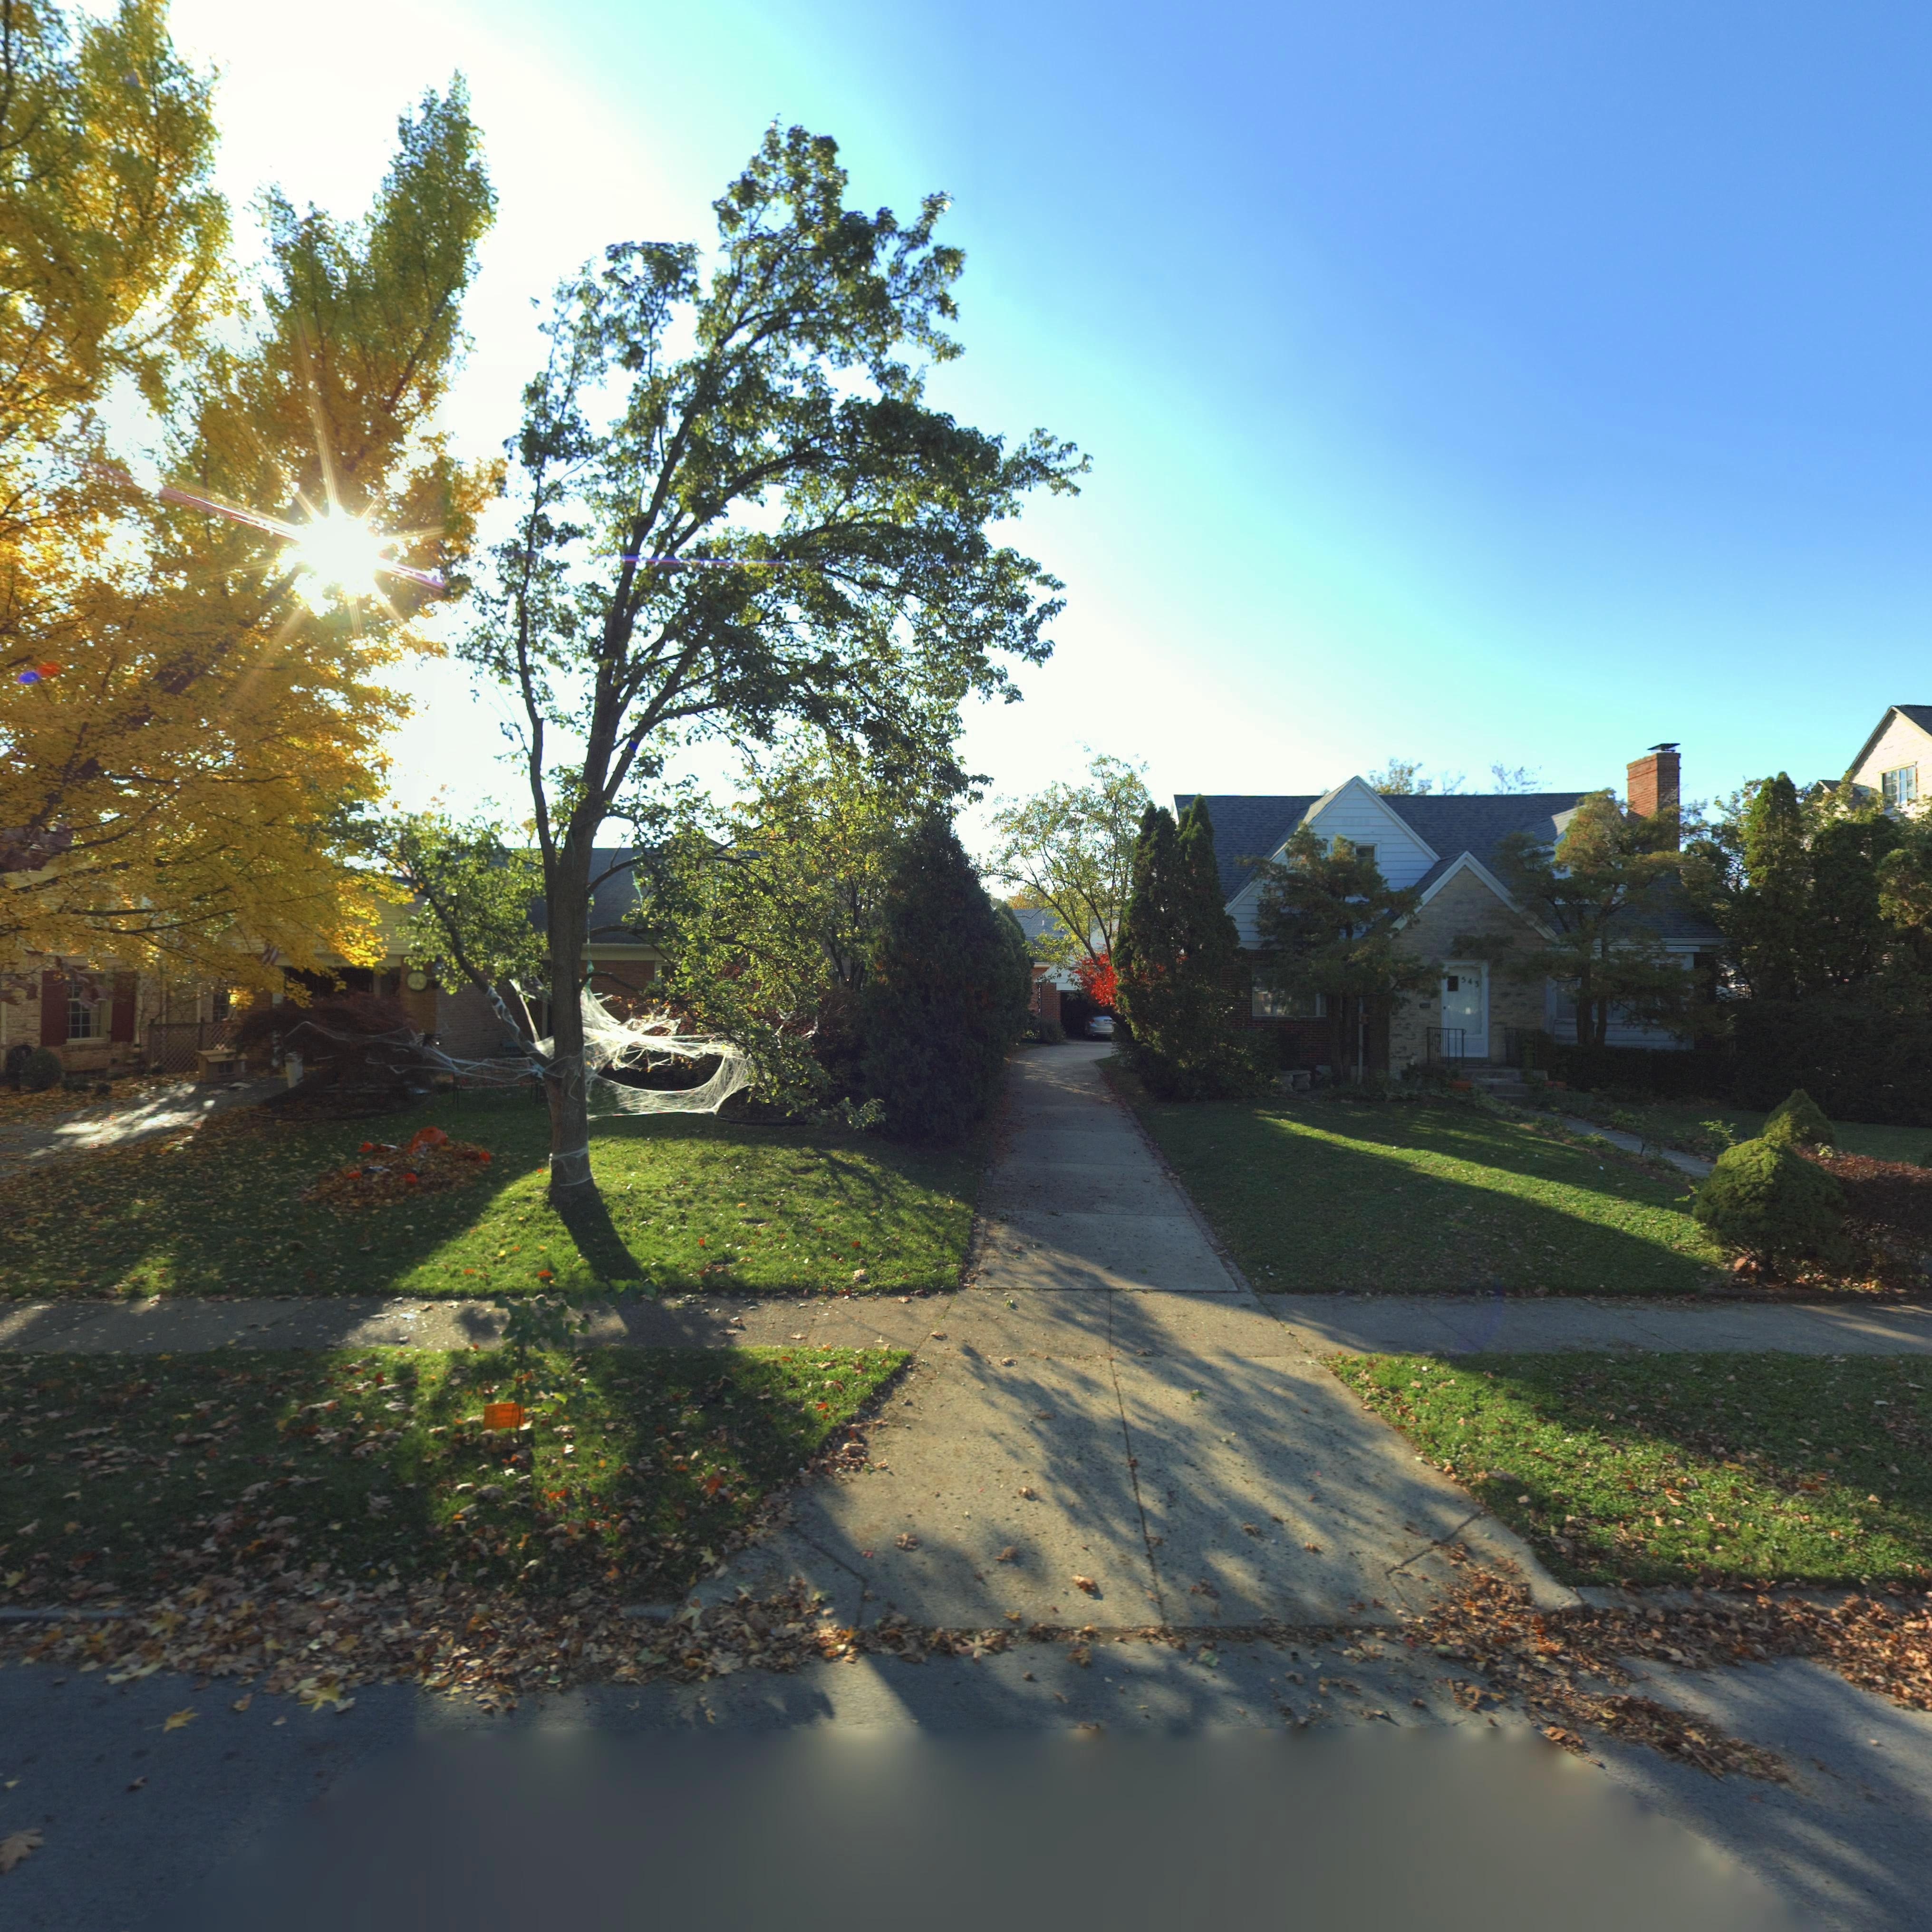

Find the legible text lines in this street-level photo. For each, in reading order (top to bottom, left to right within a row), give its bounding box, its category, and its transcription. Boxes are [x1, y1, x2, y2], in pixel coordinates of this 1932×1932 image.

[1461, 976, 1479, 988] StreetNumber: 543